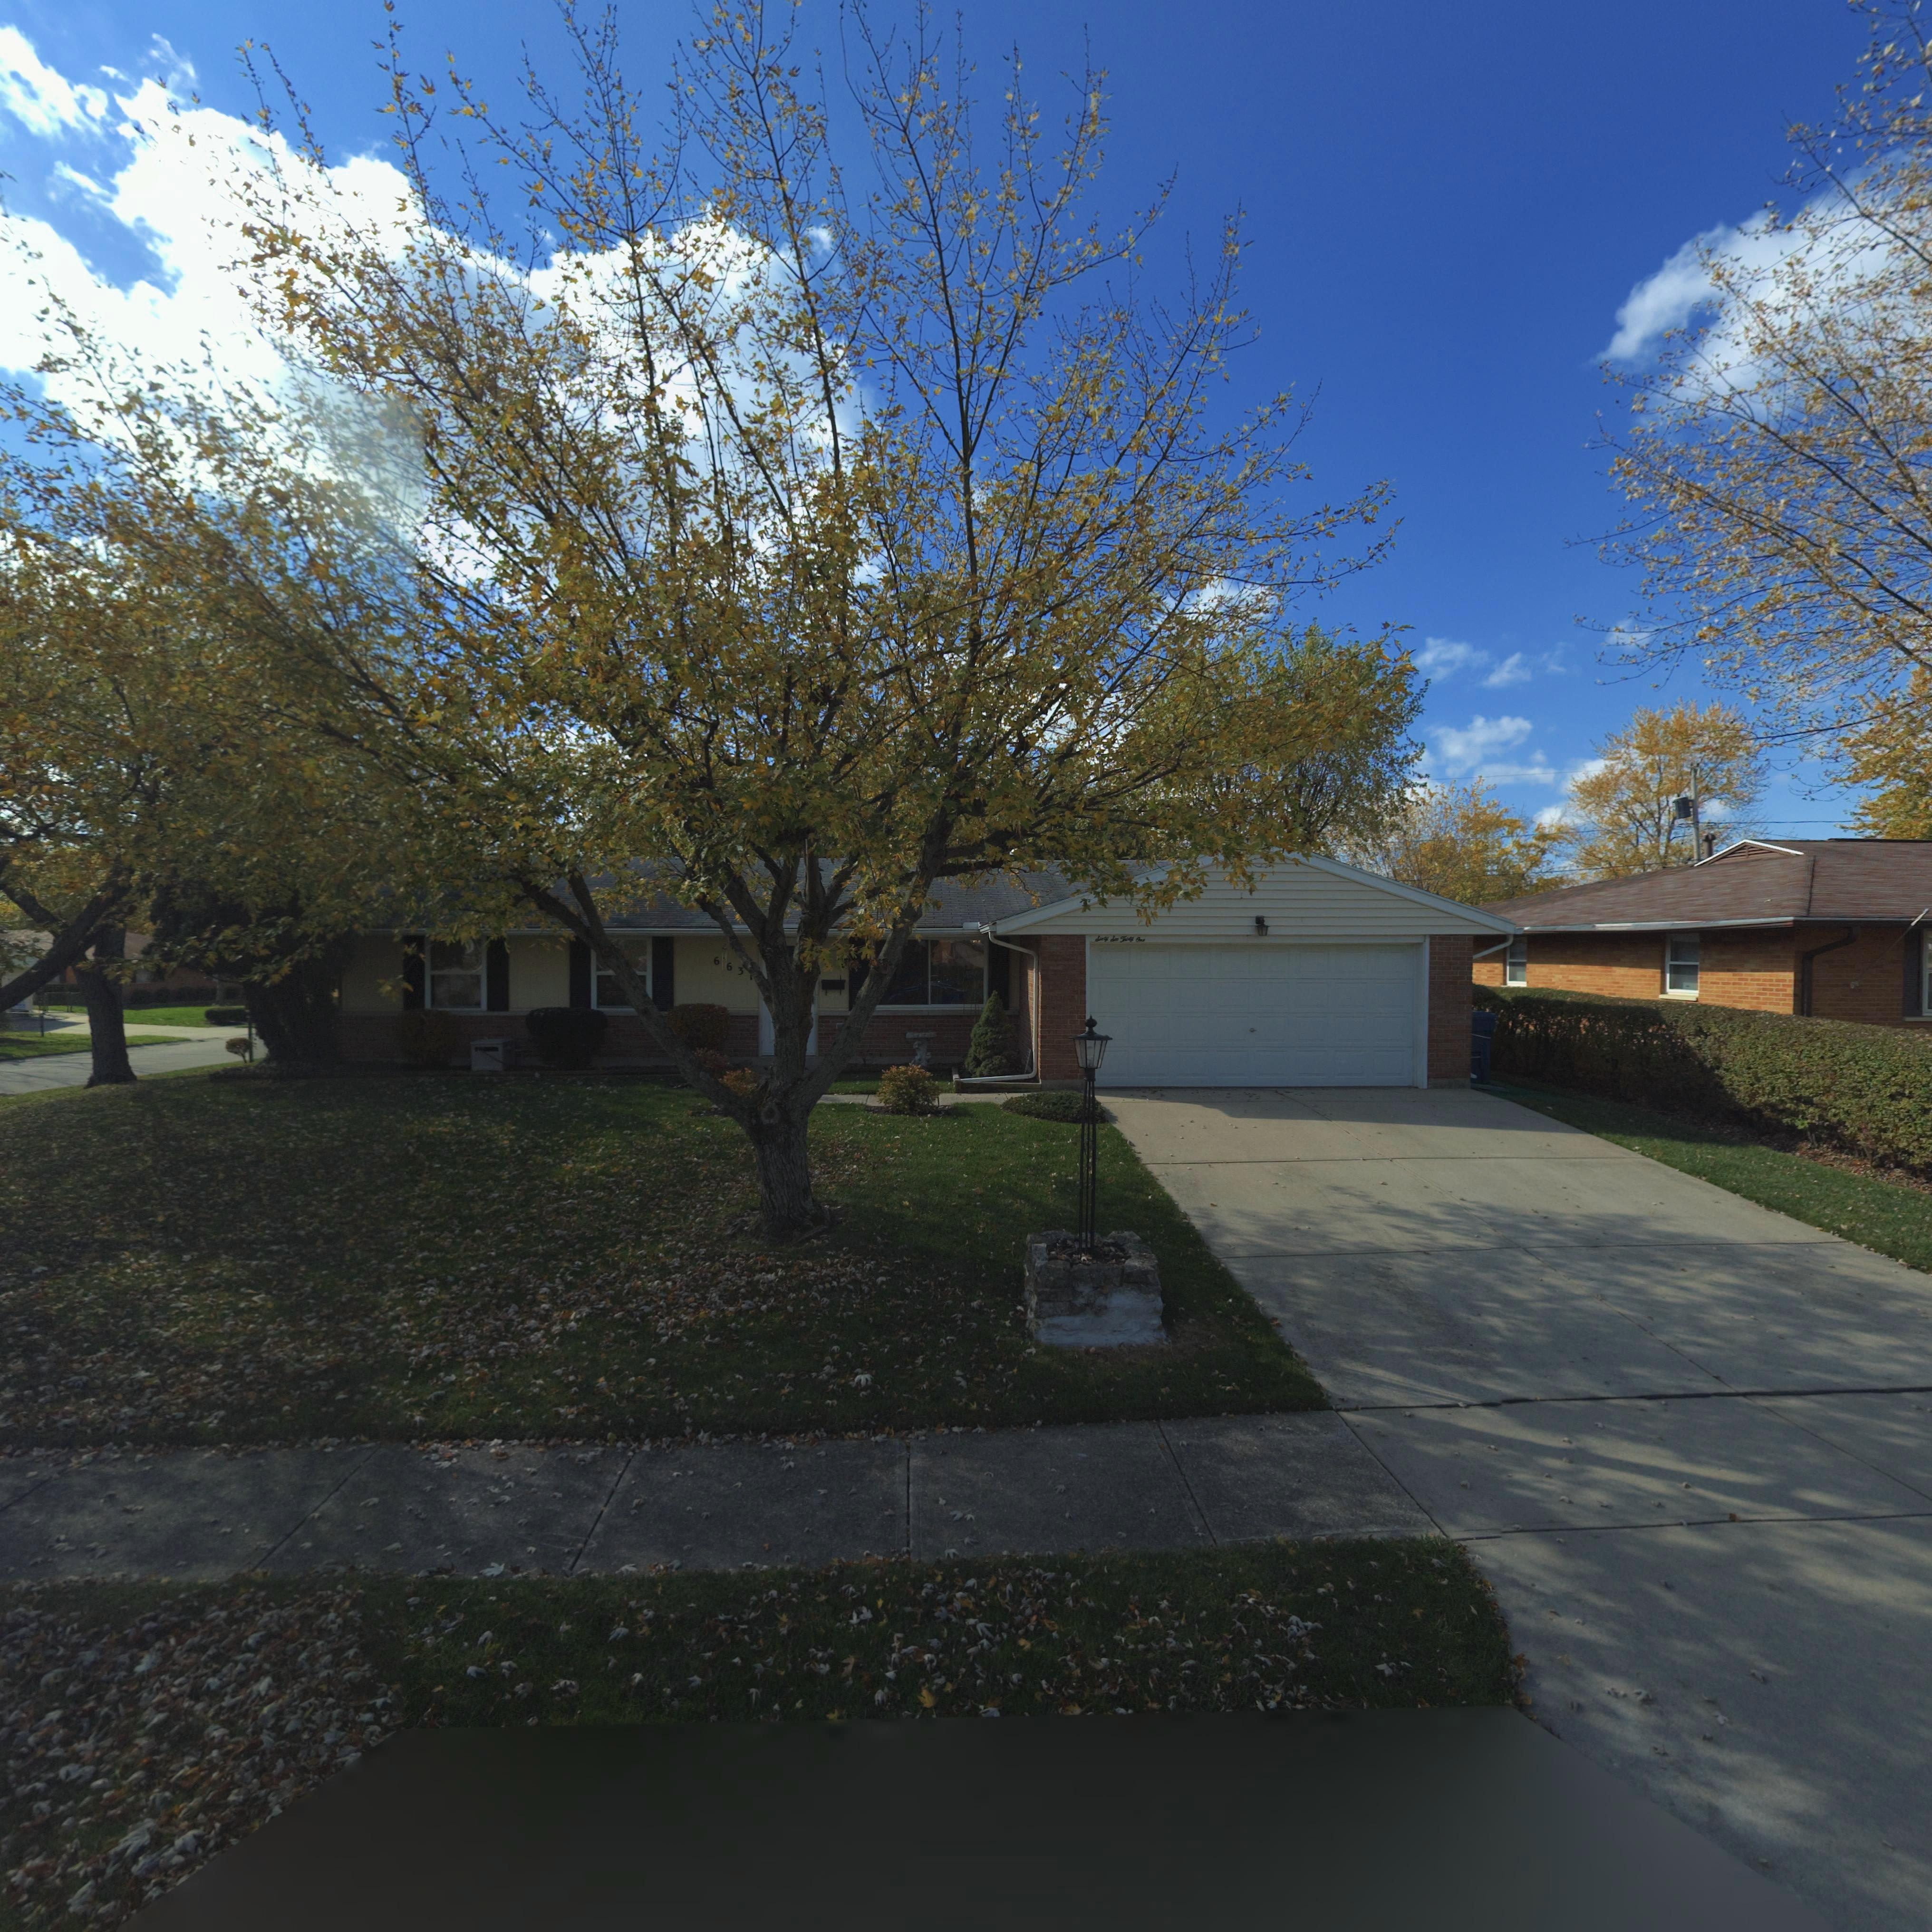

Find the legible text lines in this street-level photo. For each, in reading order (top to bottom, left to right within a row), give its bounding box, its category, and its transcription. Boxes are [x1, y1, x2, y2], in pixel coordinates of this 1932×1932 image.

[1094, 934, 1146, 943] StreetNumber: Sixty Six Thirty One
[713, 956, 744, 976] StreetNumber: 663